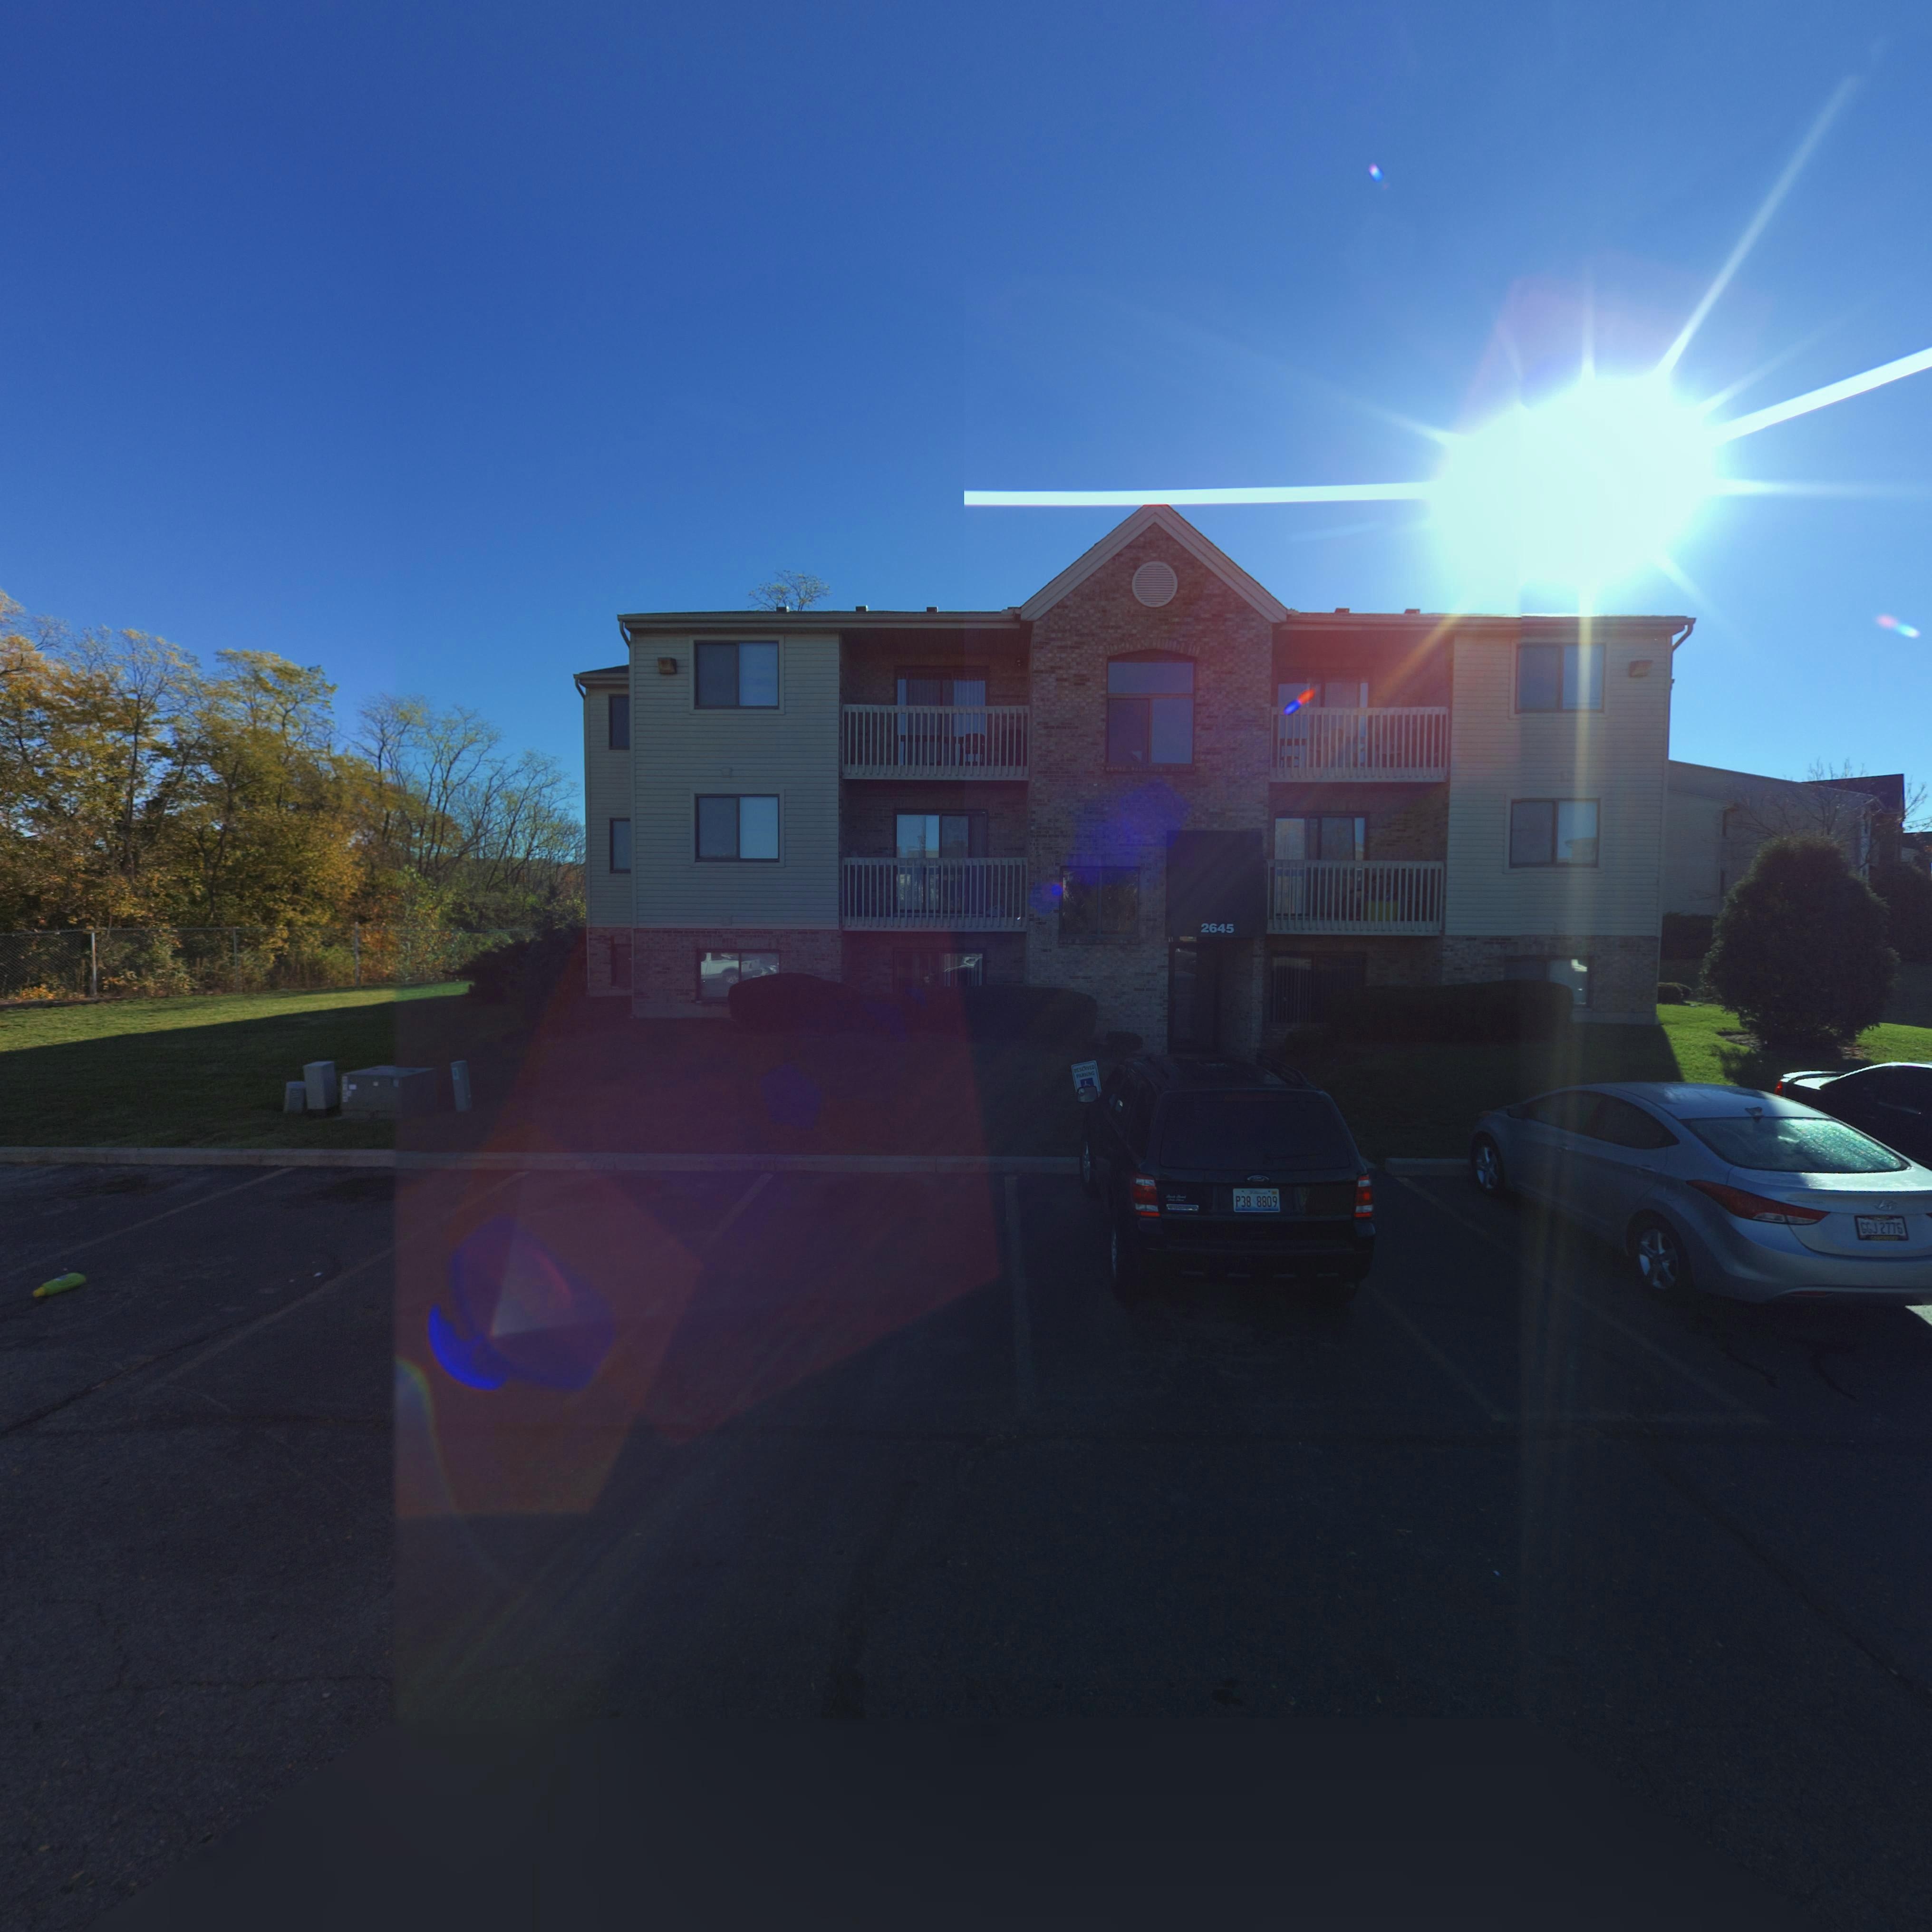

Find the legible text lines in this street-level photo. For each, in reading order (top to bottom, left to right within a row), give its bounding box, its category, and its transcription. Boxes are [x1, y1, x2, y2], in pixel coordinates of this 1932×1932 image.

[1200, 922, 1235, 935] StreetNumber: 2645